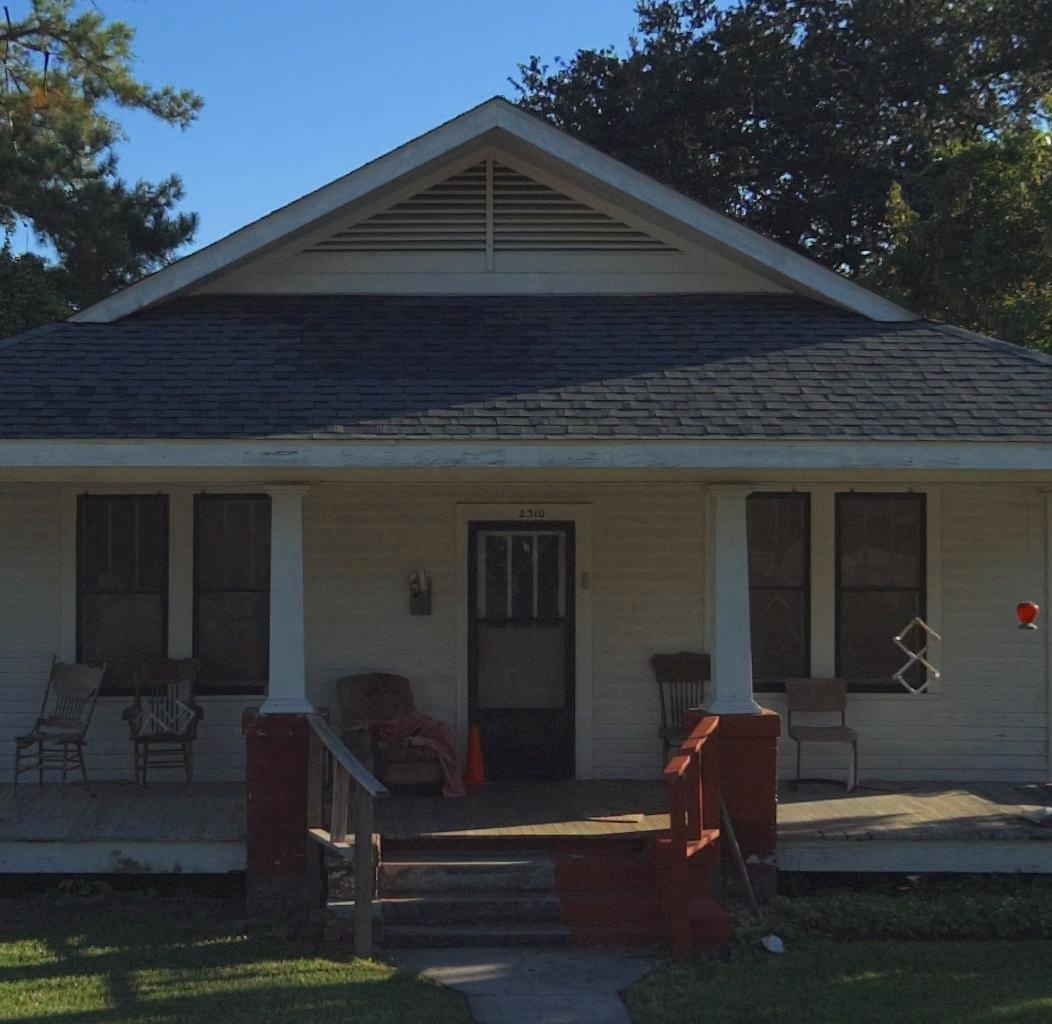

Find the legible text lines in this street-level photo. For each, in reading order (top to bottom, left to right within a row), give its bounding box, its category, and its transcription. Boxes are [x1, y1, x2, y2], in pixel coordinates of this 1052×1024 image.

[516, 507, 547, 520] StreetNumber: 2310